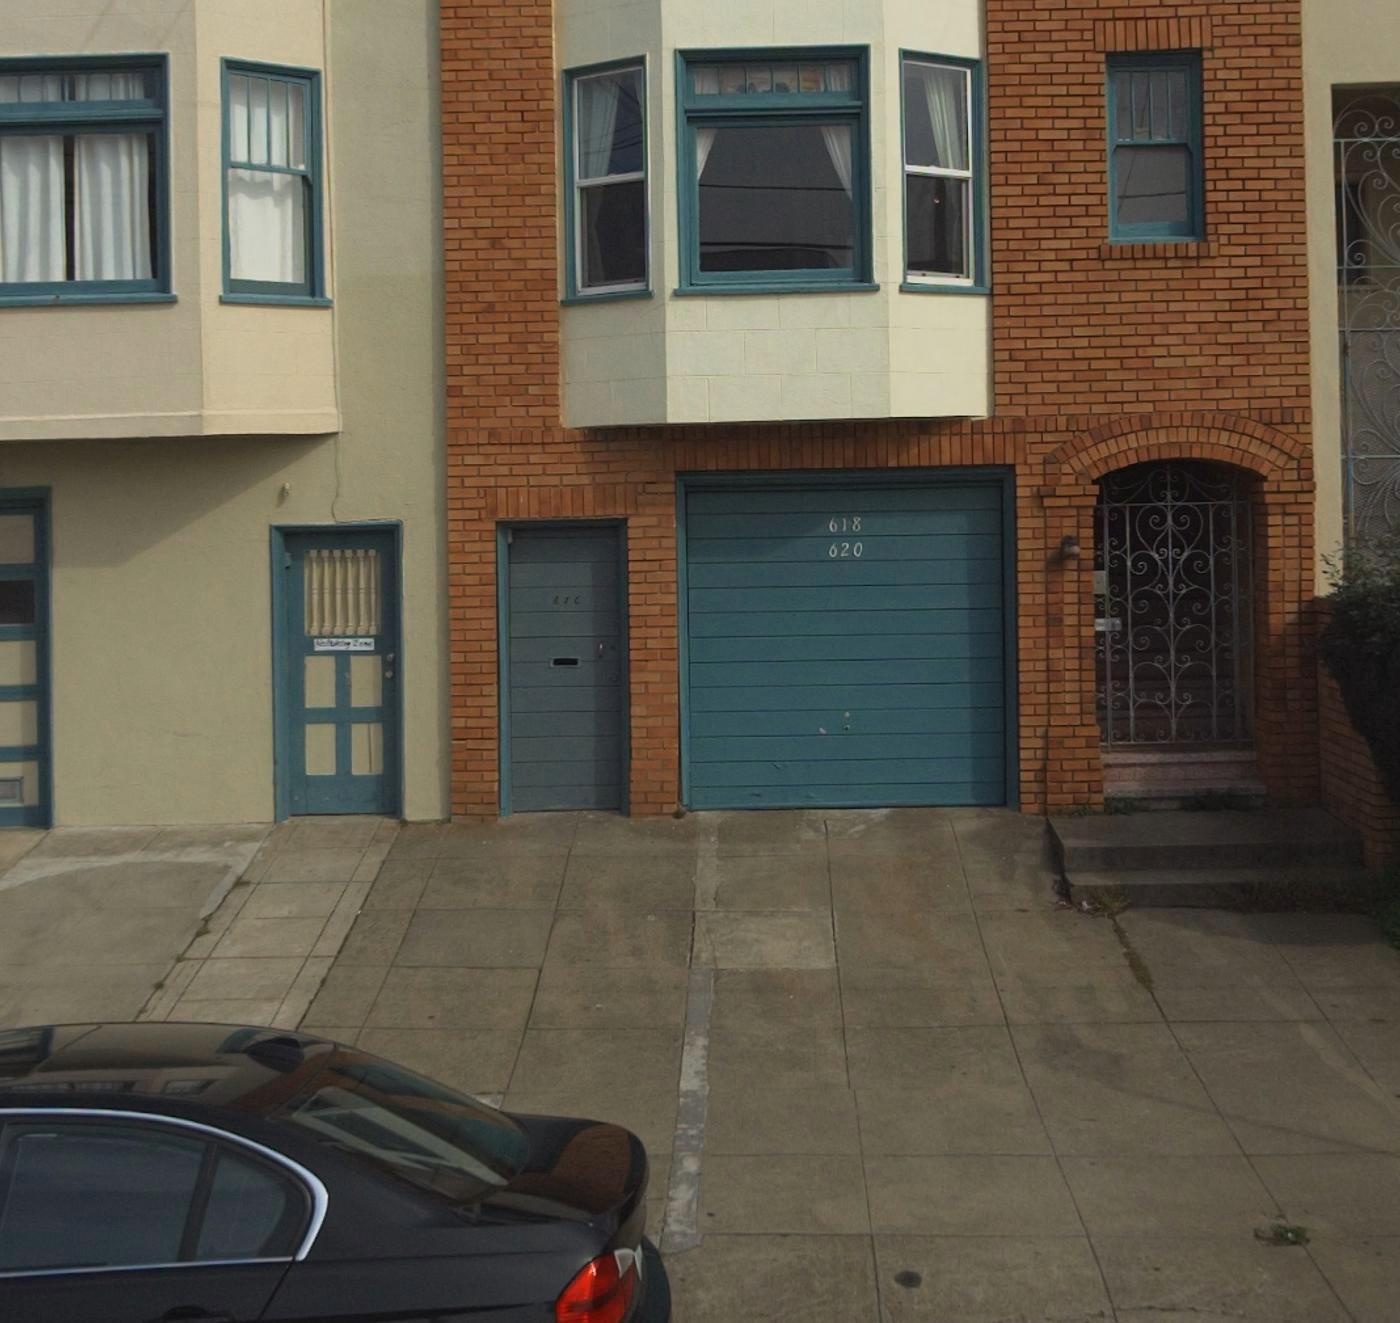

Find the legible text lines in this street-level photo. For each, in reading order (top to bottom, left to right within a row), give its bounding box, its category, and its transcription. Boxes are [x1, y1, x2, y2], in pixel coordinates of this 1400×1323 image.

[827, 514, 864, 534] StreetNumber: 618
[826, 540, 864, 559] StreetNumber: 620
[551, 594, 582, 606] StreetNumber: 616